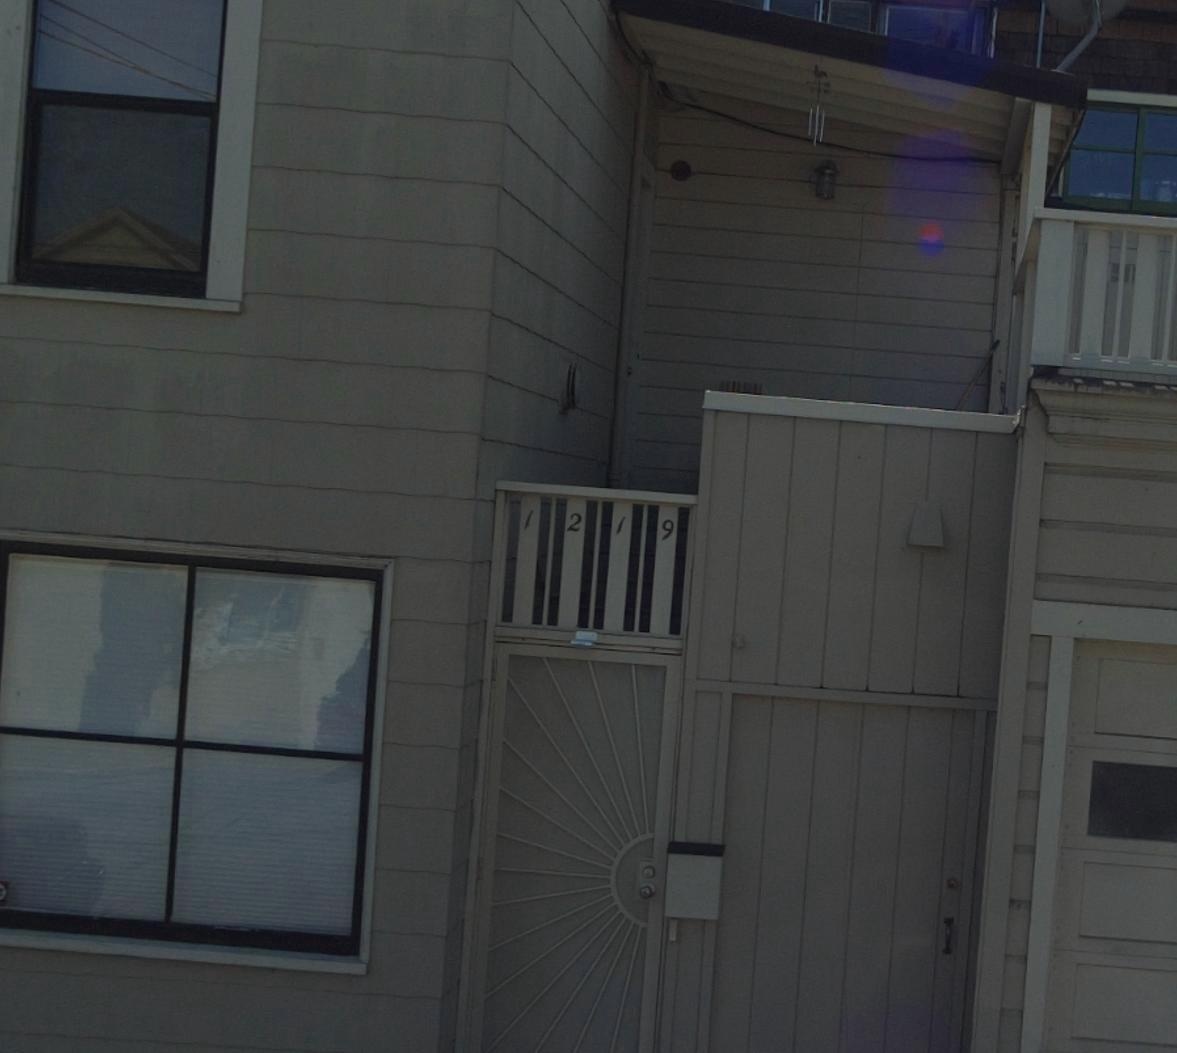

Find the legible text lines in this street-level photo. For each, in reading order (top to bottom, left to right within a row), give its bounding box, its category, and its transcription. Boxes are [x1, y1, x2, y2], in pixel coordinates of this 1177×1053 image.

[521, 507, 677, 543] StreetNumber: 1219